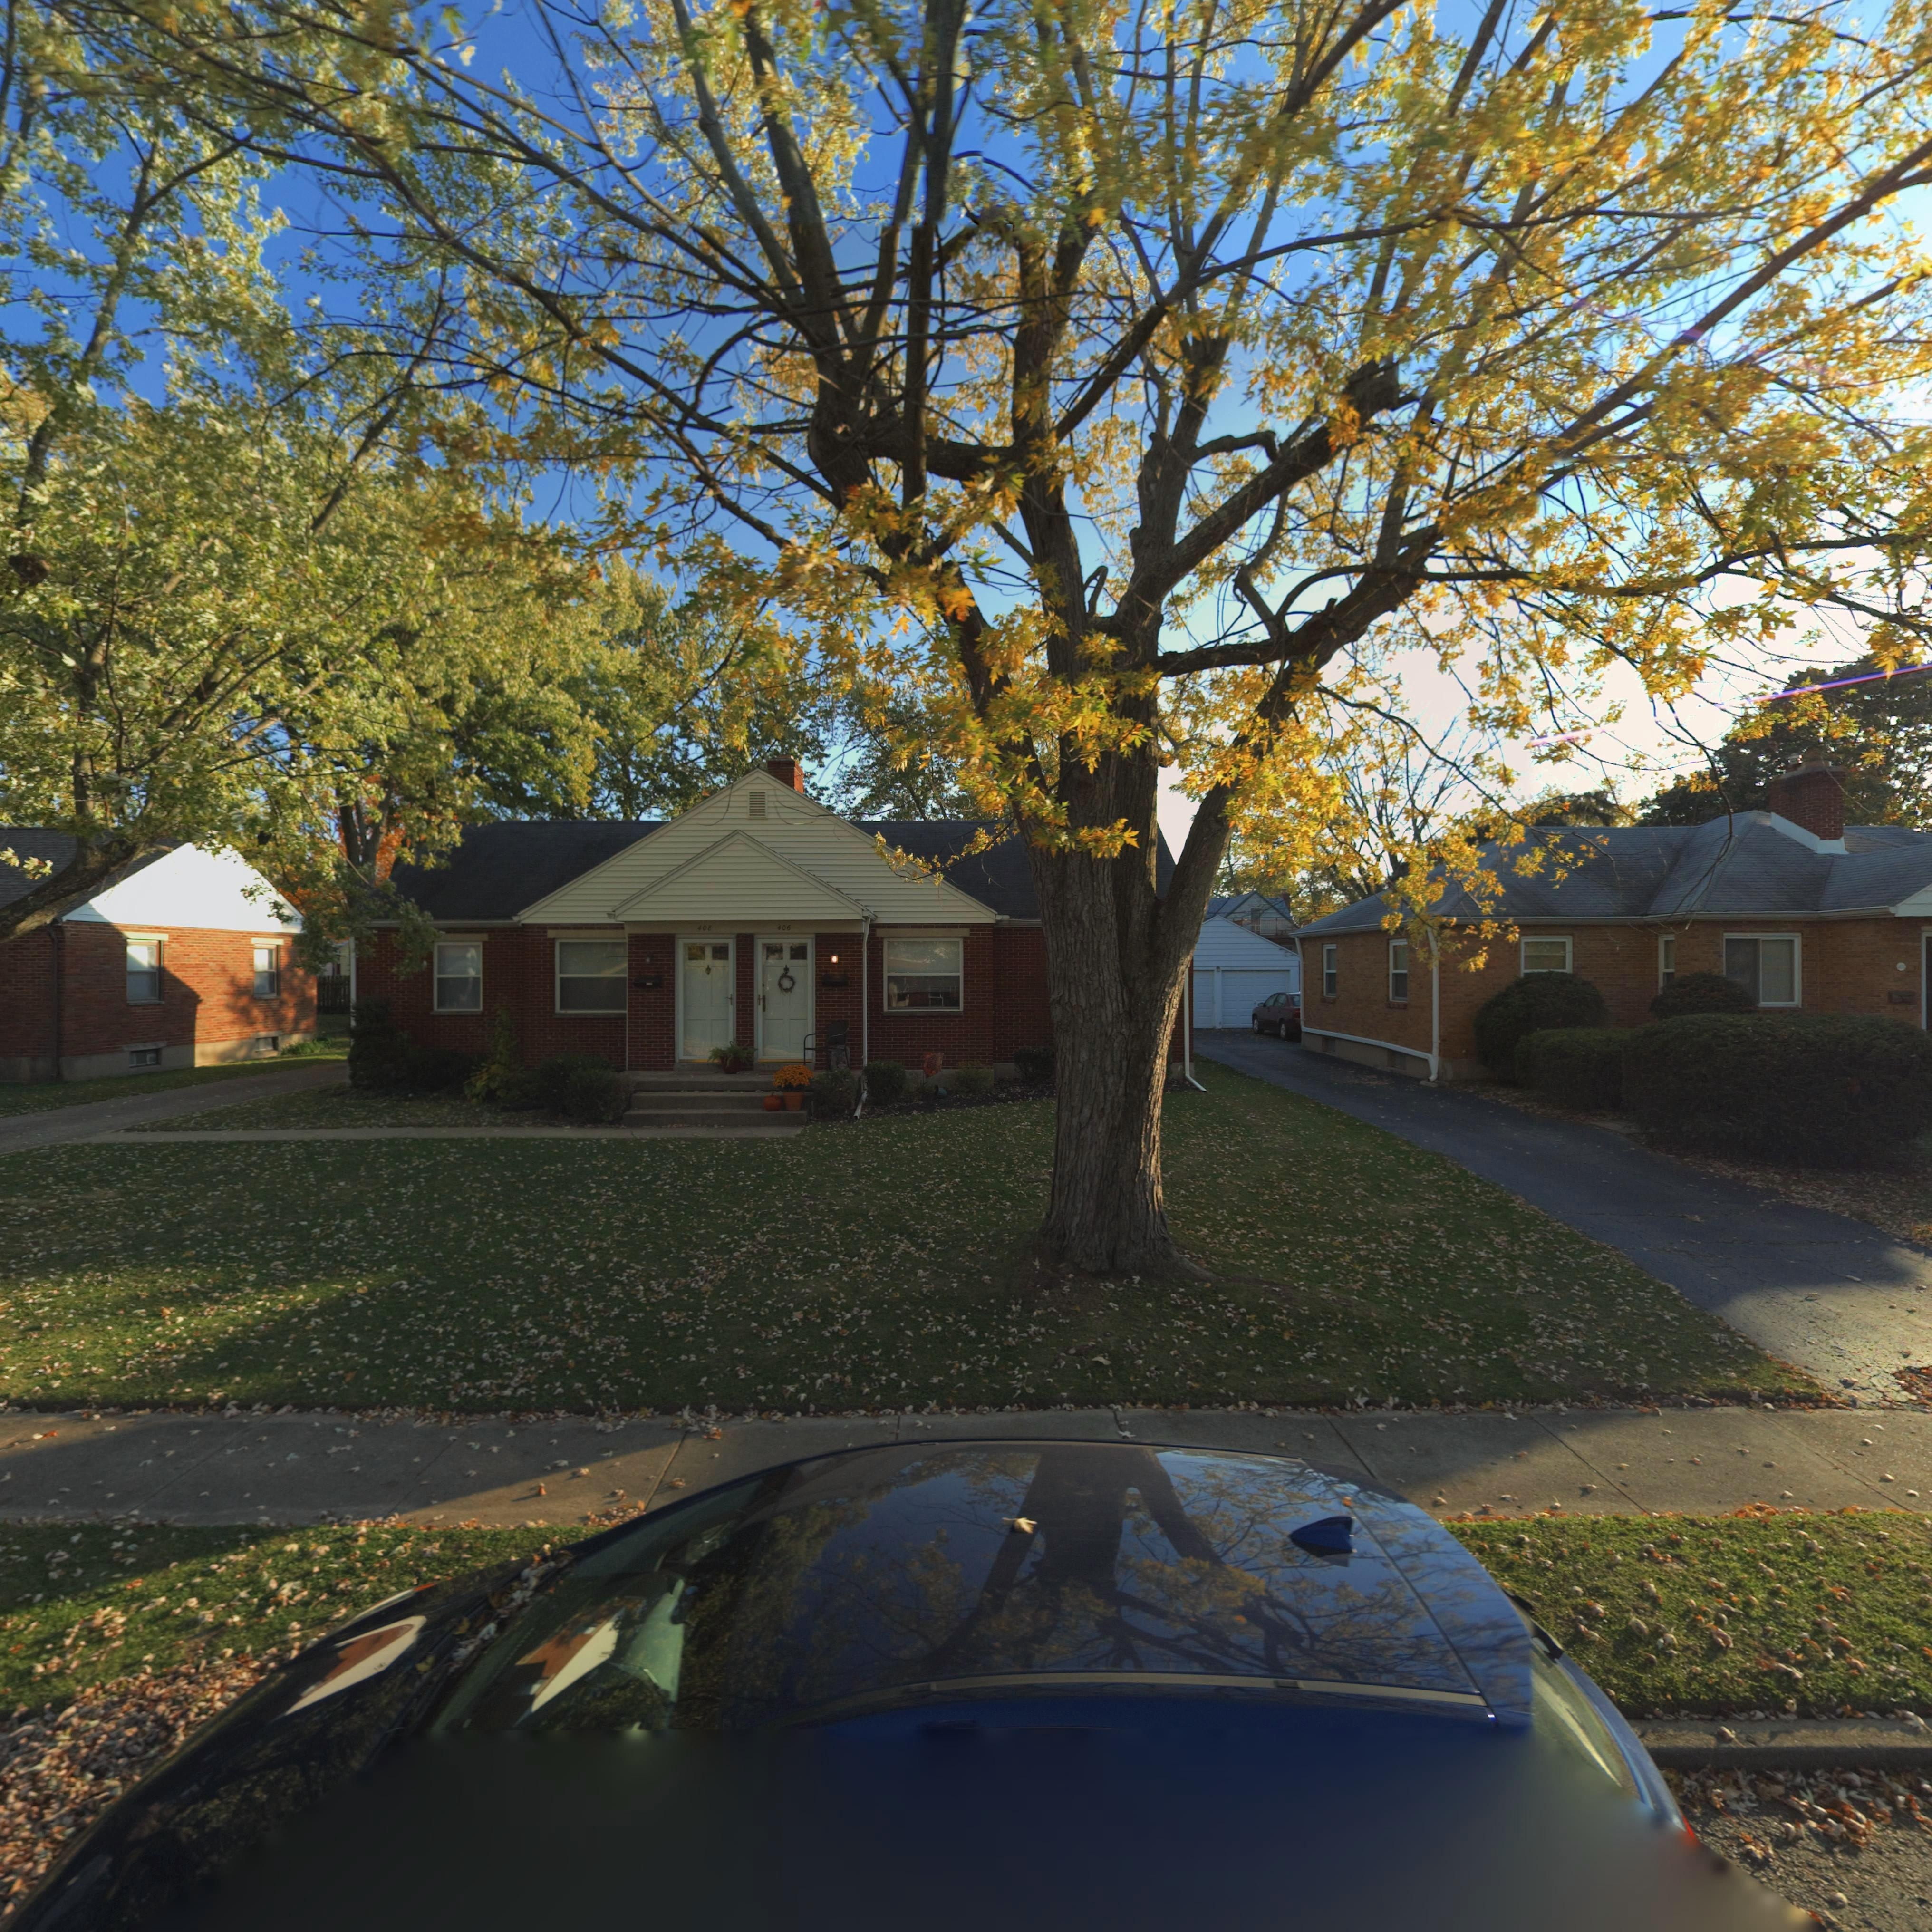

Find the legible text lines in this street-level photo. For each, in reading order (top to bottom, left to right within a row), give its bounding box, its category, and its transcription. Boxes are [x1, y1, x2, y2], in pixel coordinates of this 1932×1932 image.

[696, 924, 713, 932] StreetNumber: 408
[776, 923, 792, 931] StreetNumber: 406